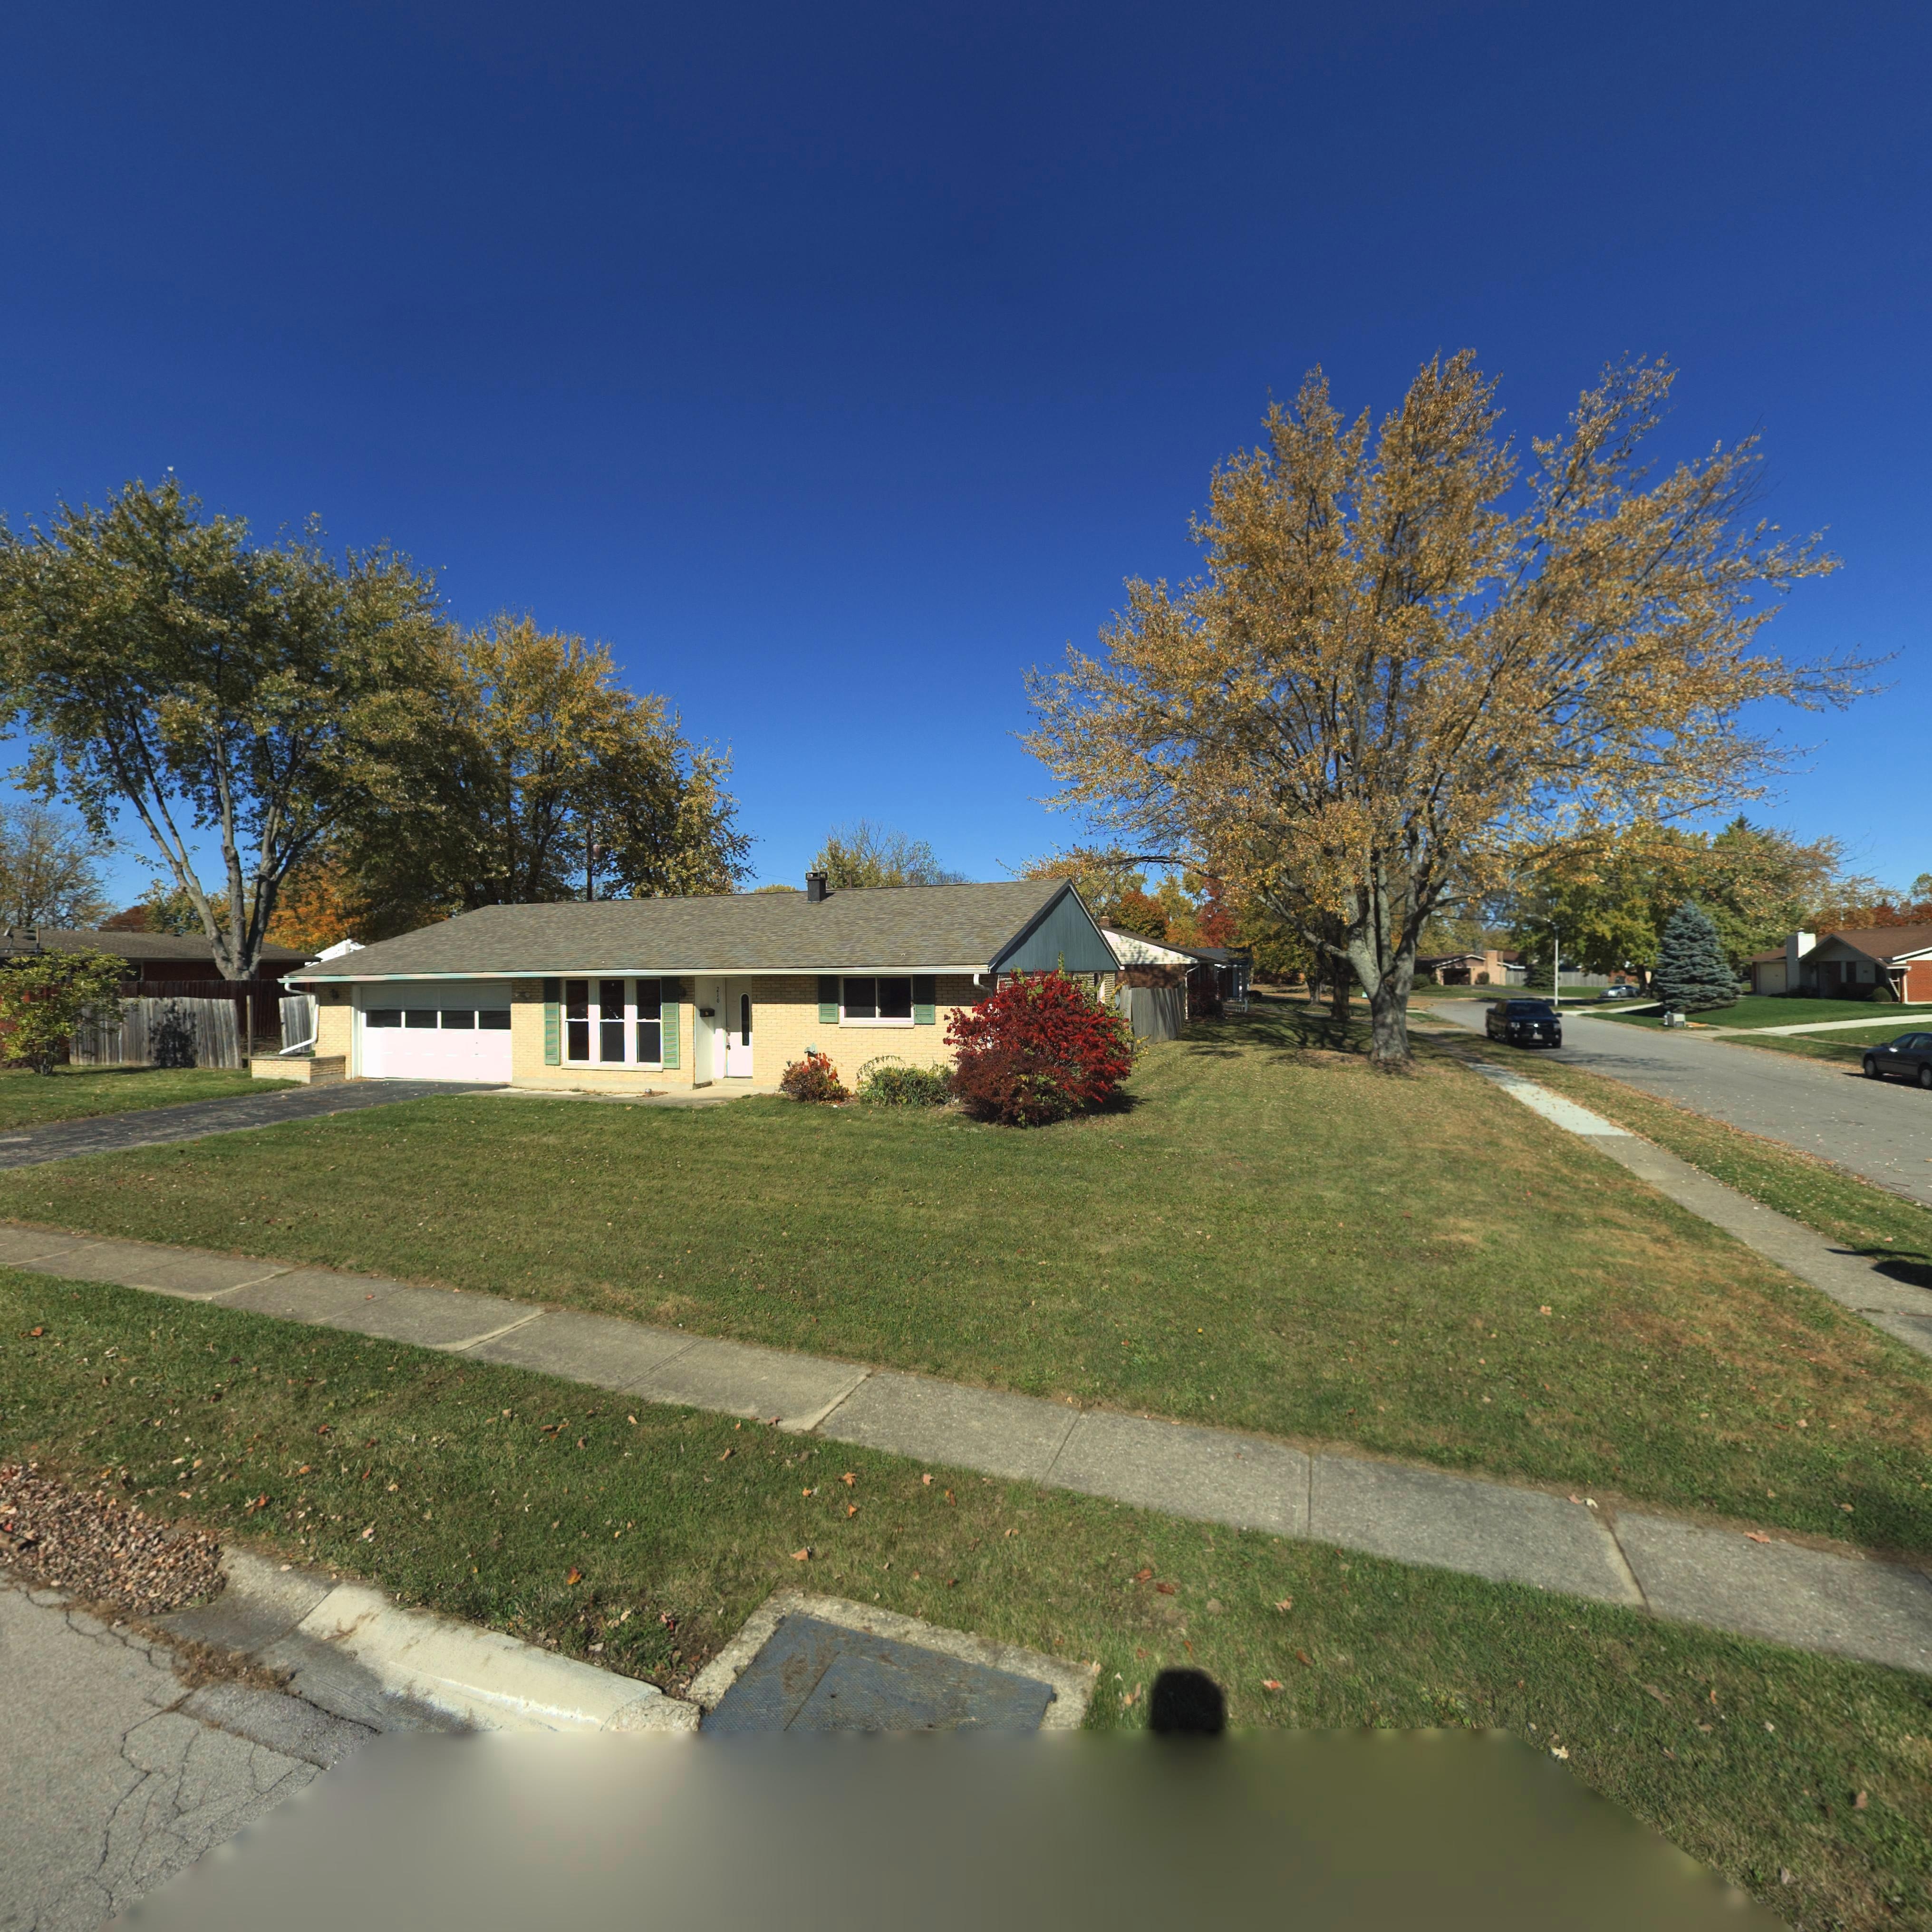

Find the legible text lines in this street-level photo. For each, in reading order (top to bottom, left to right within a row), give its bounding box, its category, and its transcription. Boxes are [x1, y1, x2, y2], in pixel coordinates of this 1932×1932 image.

[716, 986, 720, 1003] StreetNumber: 216